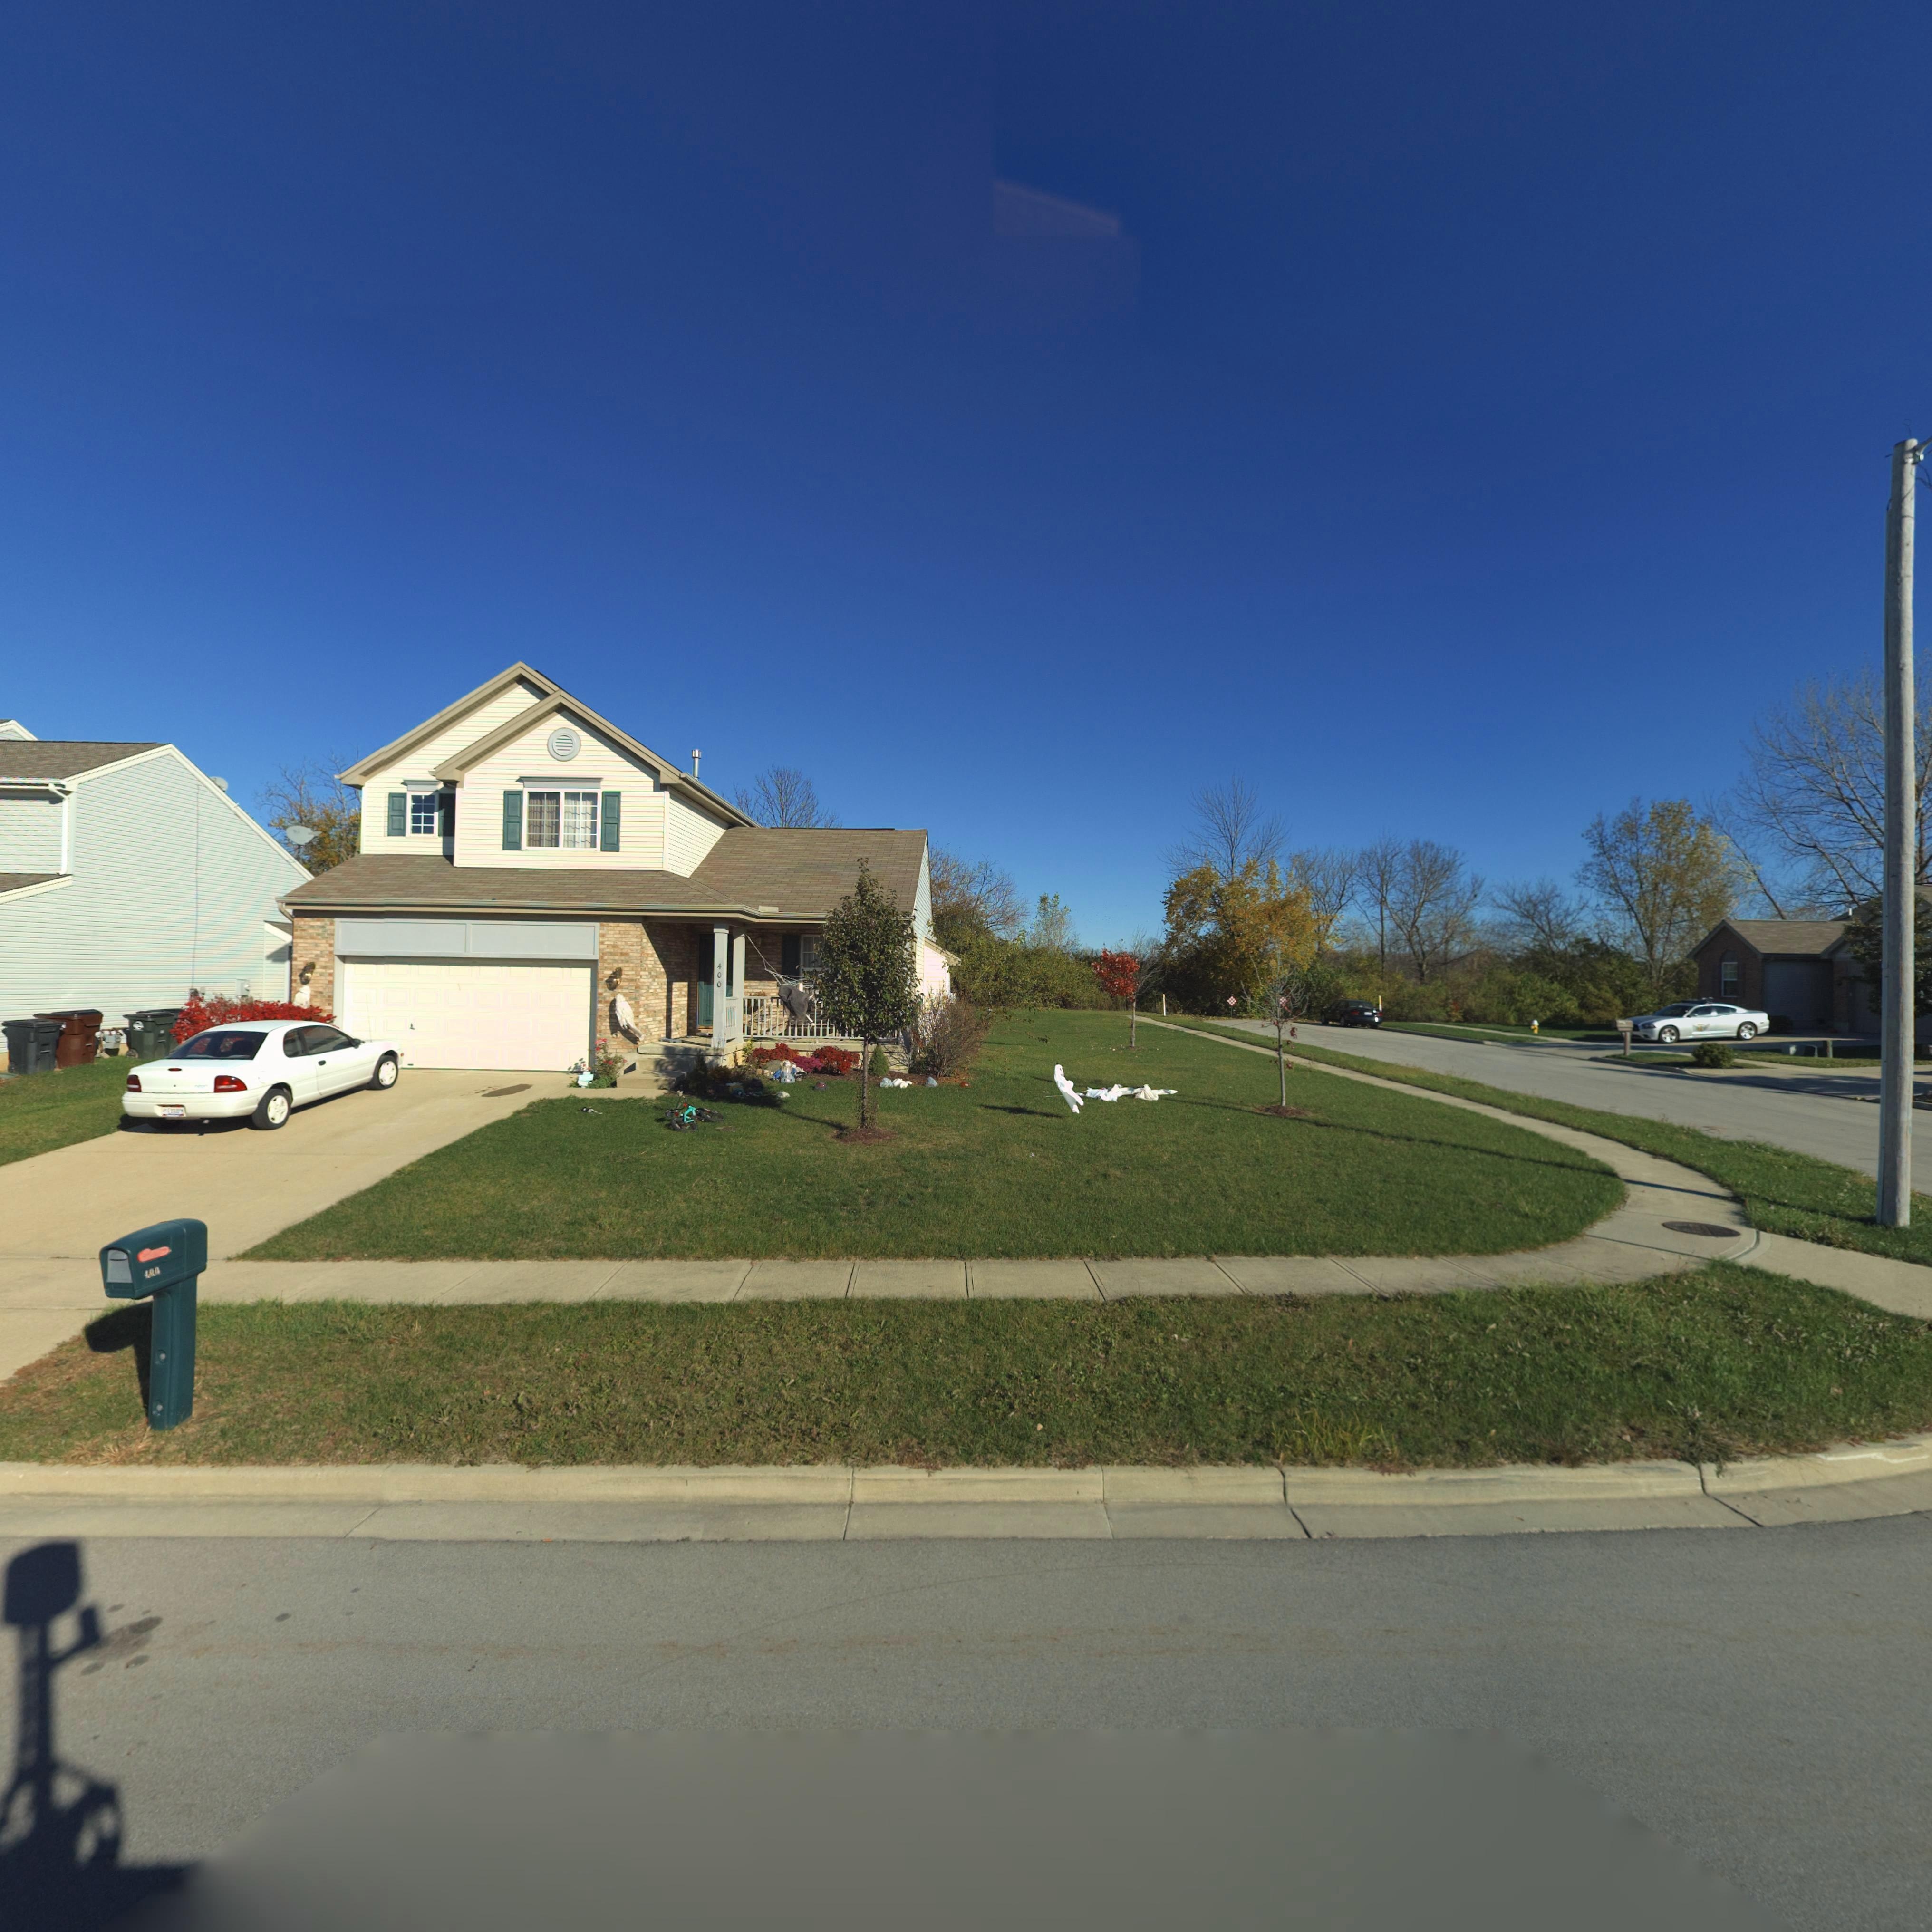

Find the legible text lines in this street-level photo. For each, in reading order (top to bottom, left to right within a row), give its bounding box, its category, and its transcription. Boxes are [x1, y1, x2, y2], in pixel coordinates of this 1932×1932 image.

[716, 962, 723, 989] StreetNumber: 400
[143, 1265, 162, 1280] StreetNumber: *00